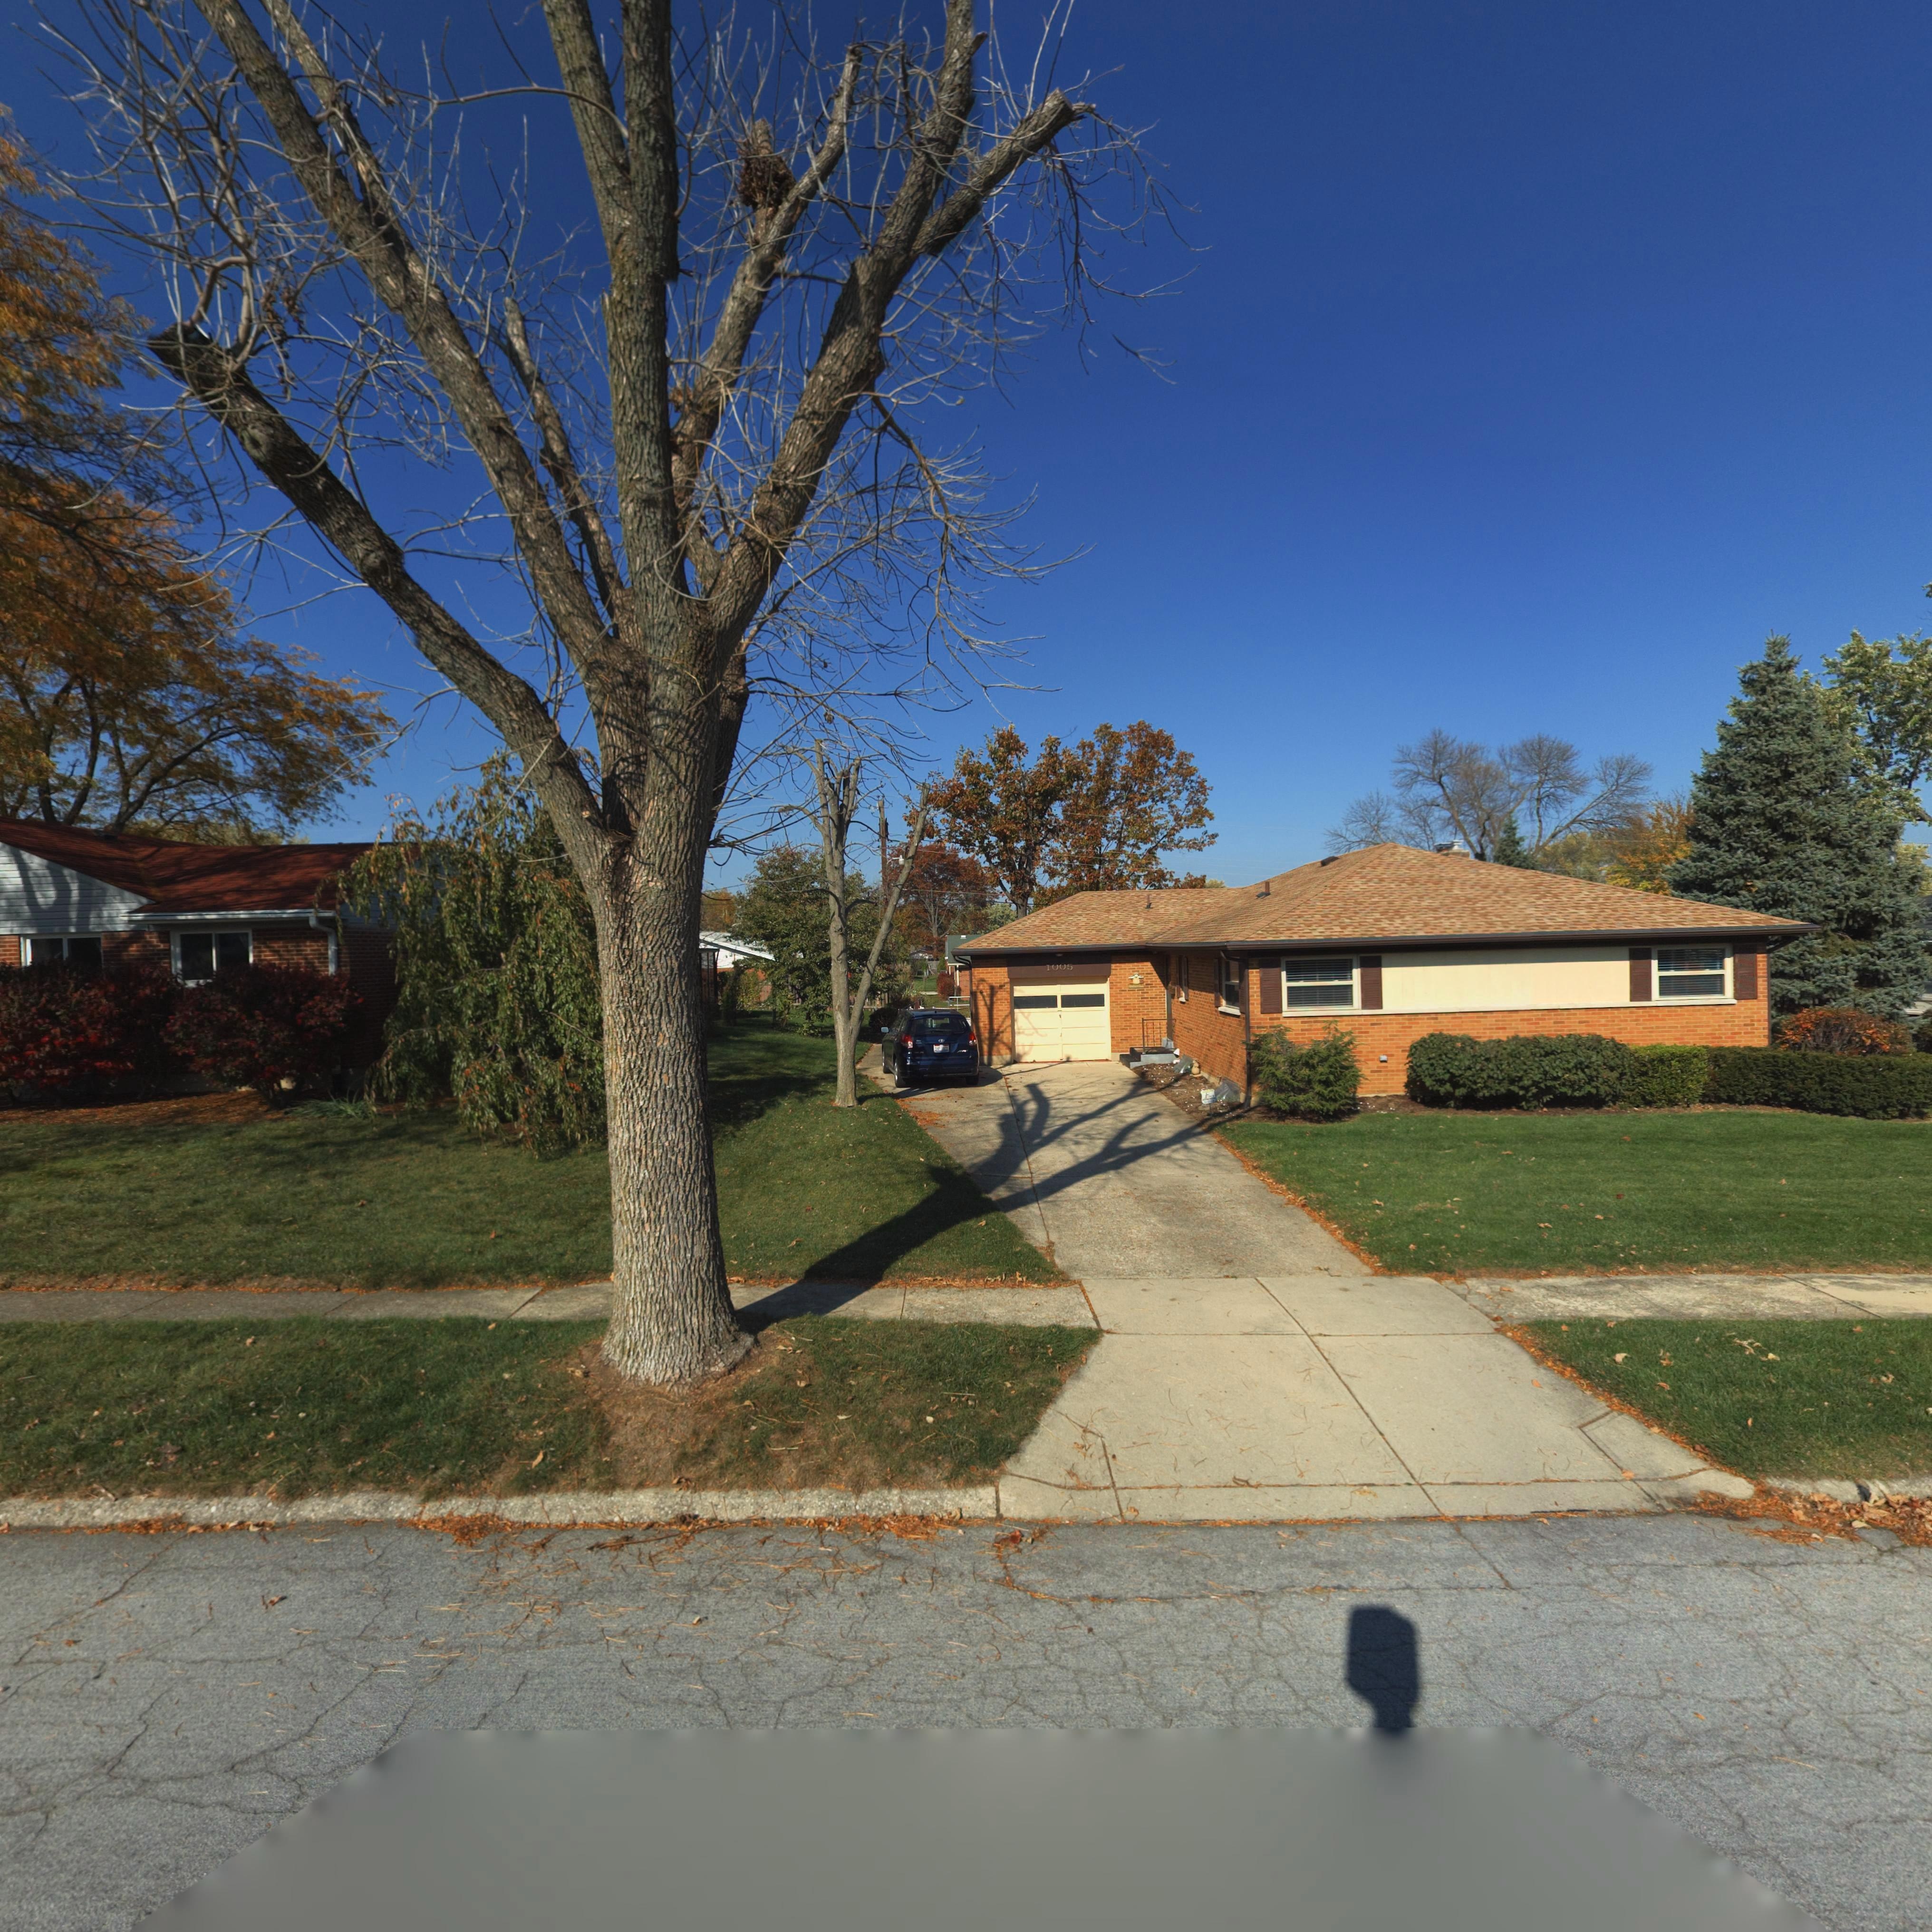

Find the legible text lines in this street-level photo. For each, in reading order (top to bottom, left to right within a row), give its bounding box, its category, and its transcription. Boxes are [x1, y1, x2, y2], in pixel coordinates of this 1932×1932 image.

[1045, 961, 1075, 973] StreetNumber: 1005